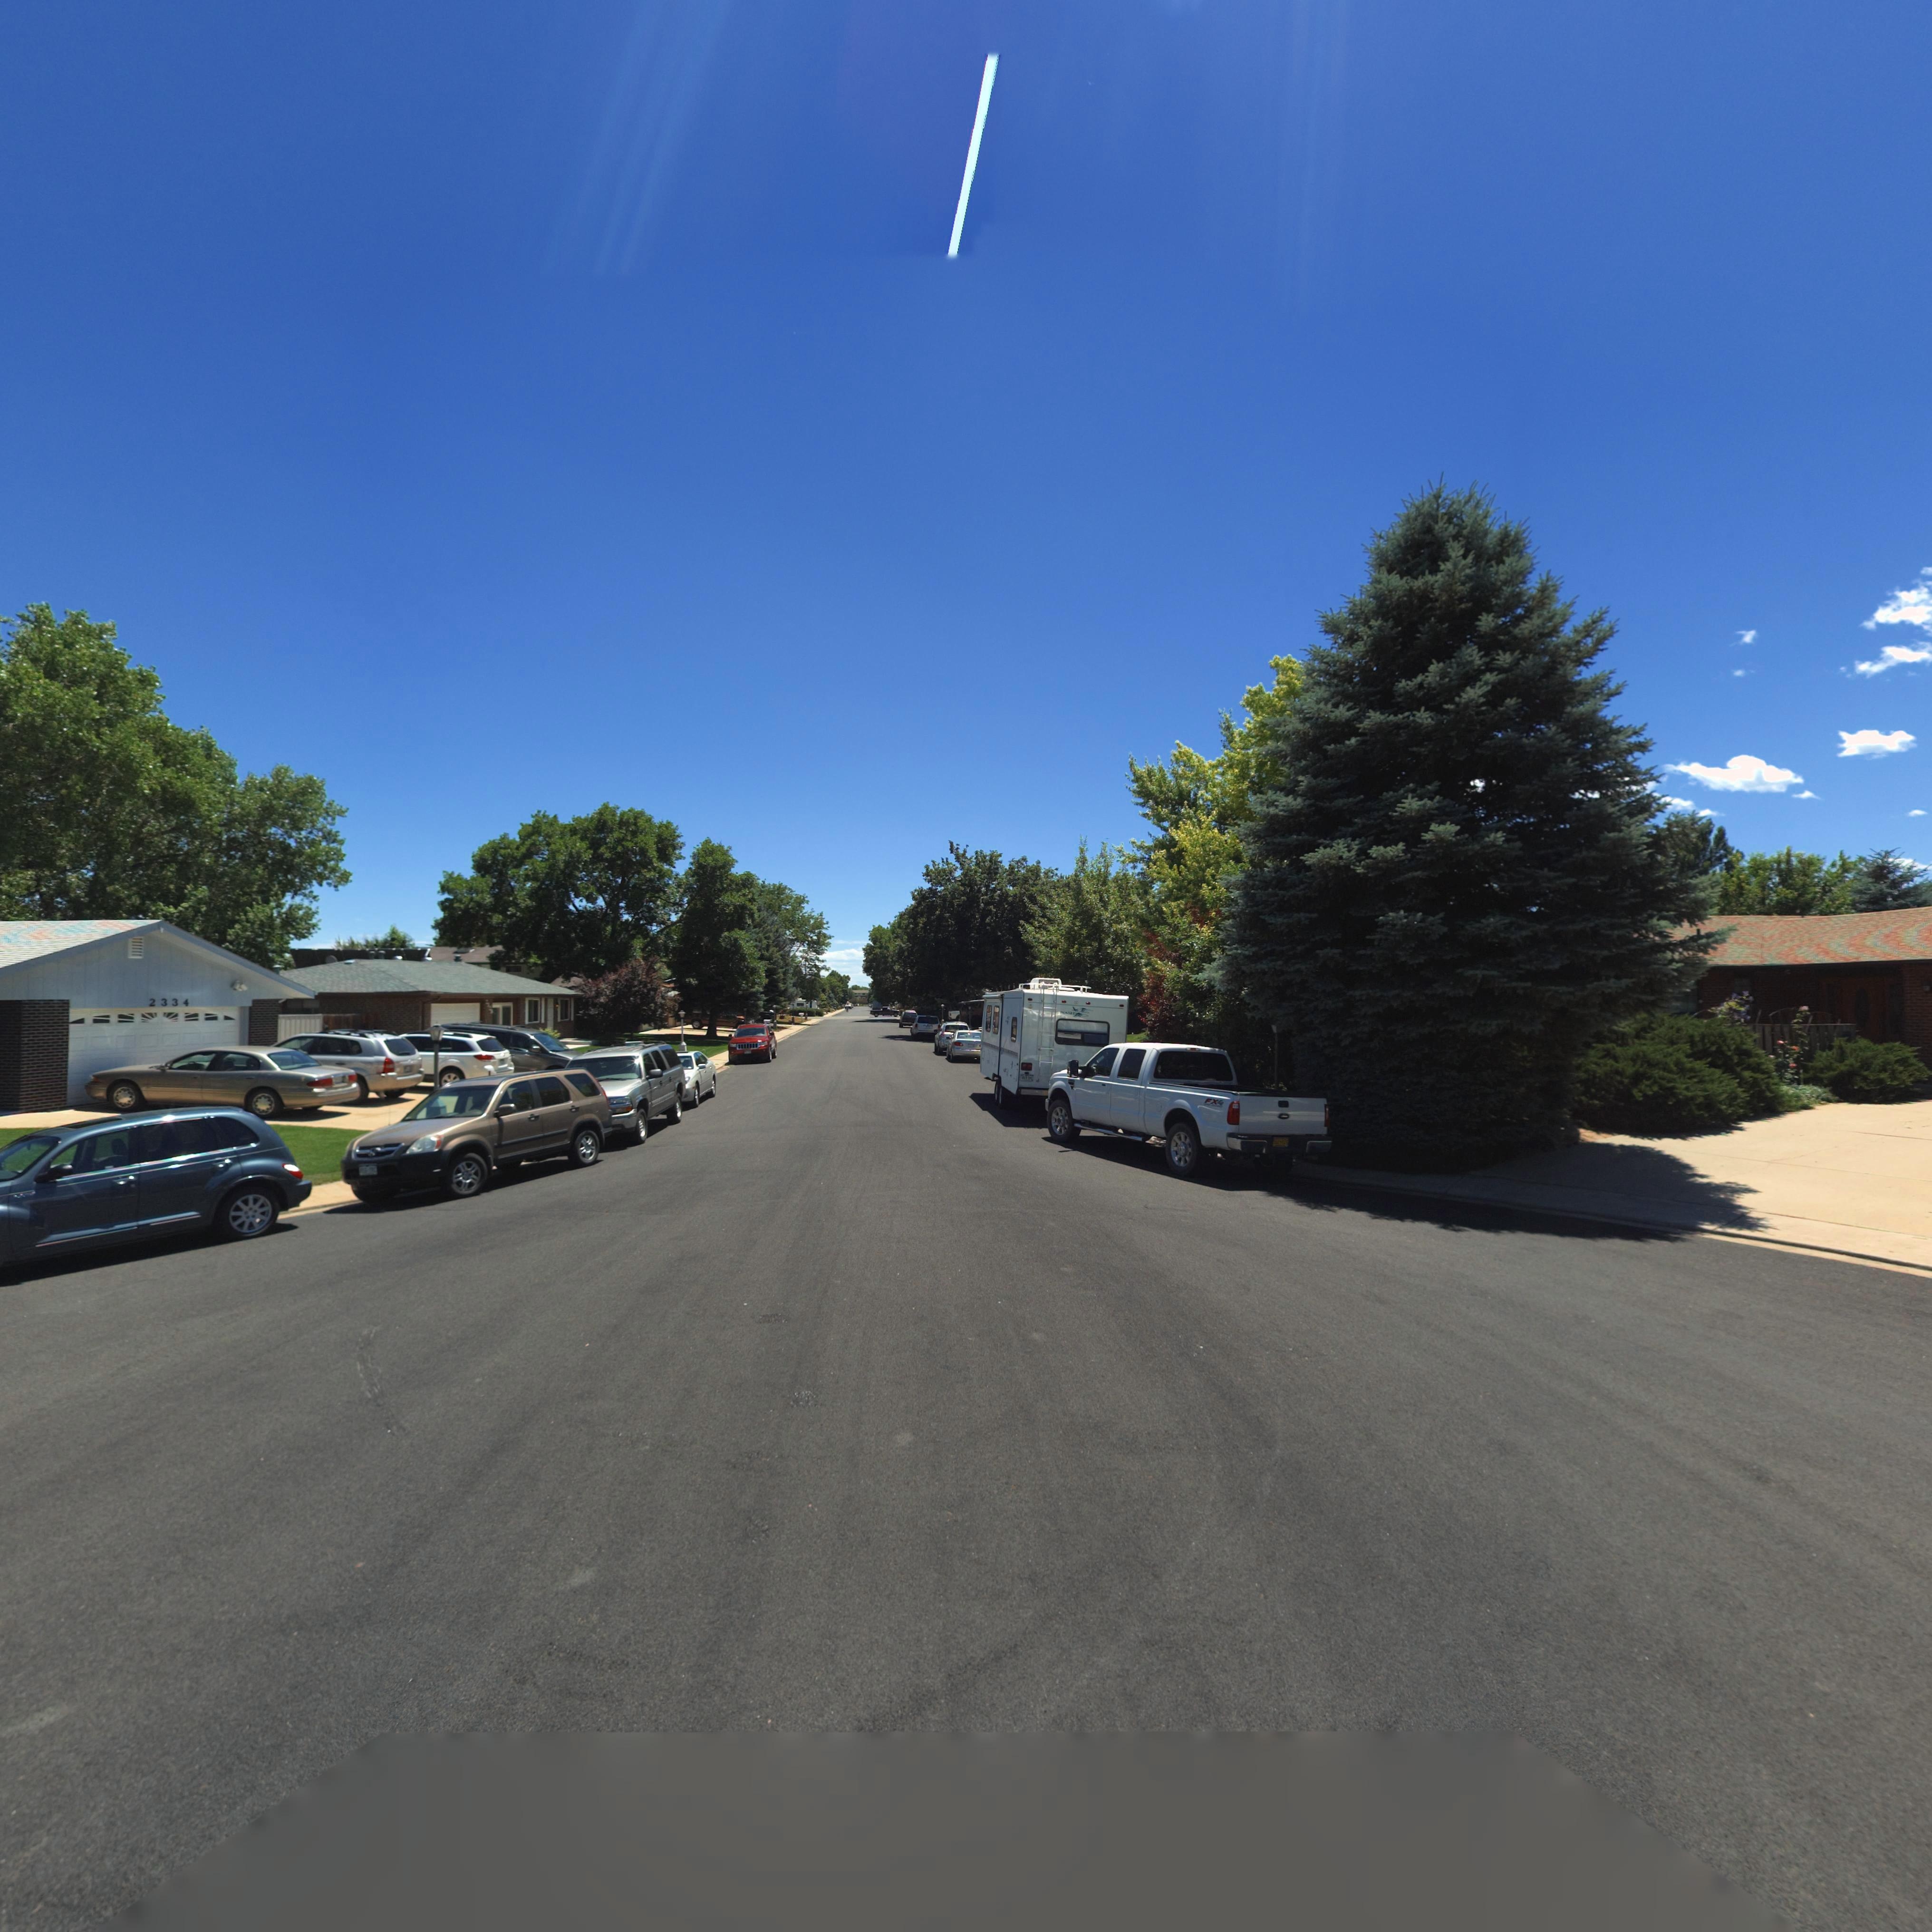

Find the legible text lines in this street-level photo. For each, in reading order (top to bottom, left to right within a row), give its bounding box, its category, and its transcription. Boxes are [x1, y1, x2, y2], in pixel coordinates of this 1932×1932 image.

[149, 997, 189, 1006] StreetNumber: 2334